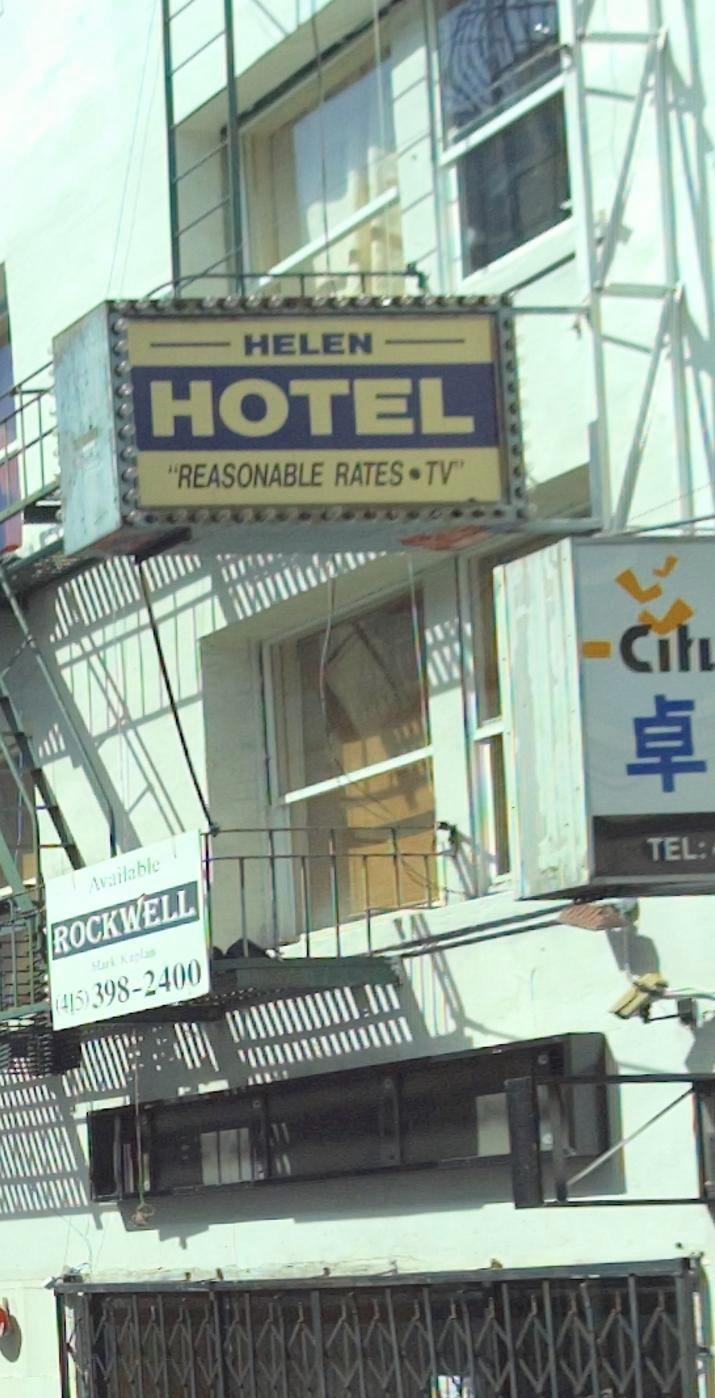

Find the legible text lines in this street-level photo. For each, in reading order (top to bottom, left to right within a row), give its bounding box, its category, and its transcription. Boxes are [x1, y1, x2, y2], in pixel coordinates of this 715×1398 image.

[241, 329, 376, 358] BusinessName: HELEN
[147, 373, 479, 440] BusinessName: HOTEL
[175, 458, 460, 491] None: REASONABLE RATES - TV
[617, 622, 695, 674] BusinessName: Cit
[640, 832, 705, 865] None: TEL
[85, 854, 163, 898] None: Available
[51, 888, 202, 958] None: ROCKWELL
[53, 954, 203, 1022] None: (415)398-2400